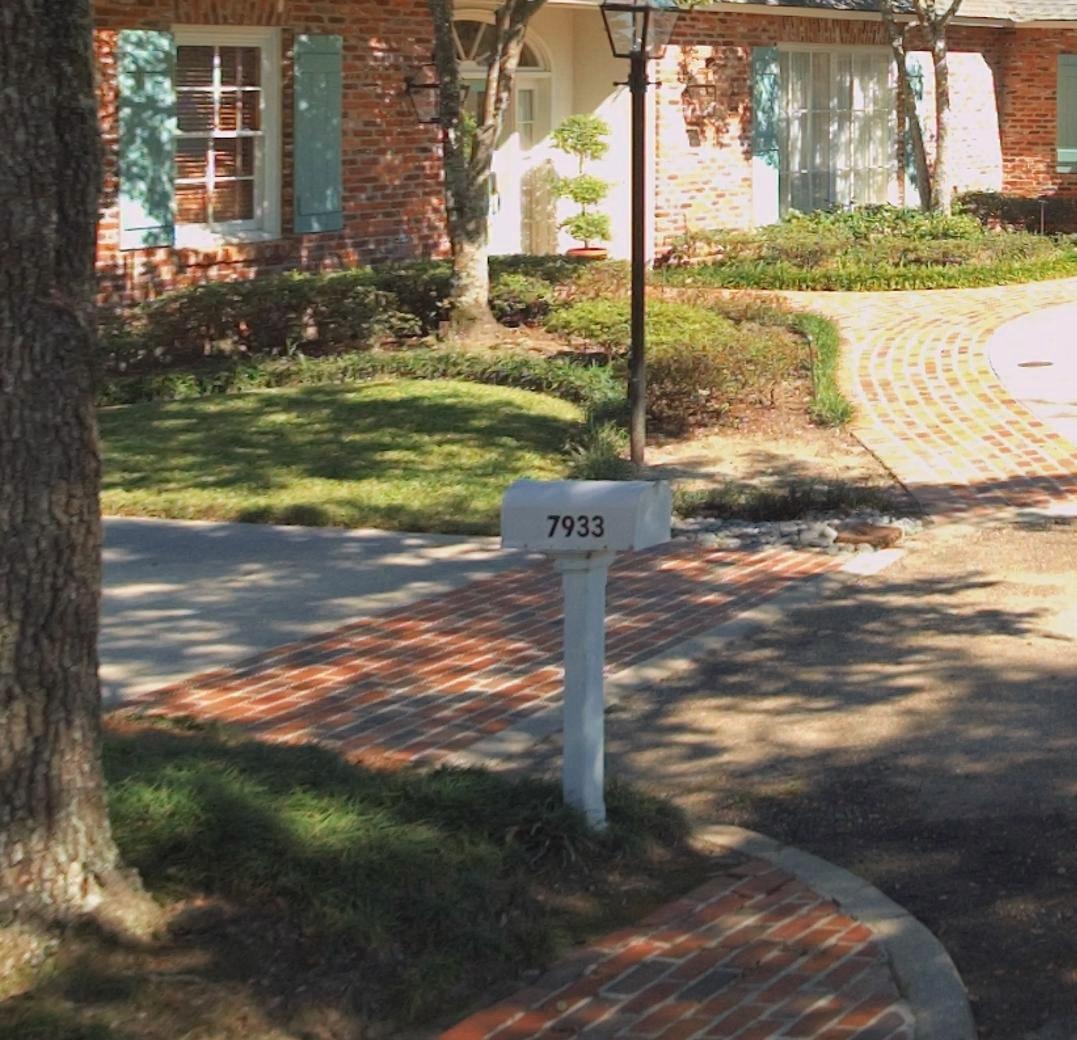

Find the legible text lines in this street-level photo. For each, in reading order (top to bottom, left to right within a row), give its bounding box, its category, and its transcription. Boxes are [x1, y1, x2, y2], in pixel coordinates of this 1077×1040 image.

[545, 512, 607, 541] StreetNumber: 7933